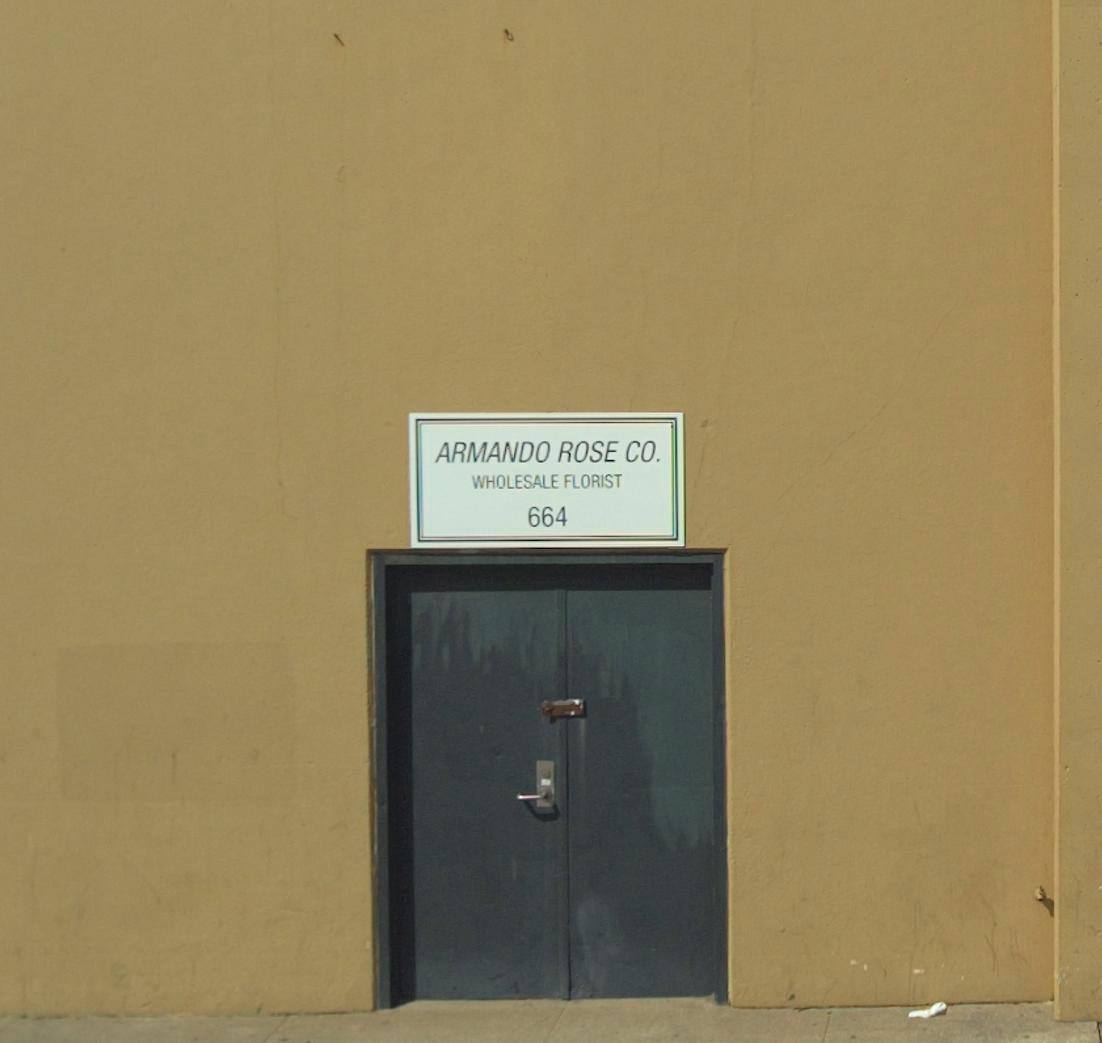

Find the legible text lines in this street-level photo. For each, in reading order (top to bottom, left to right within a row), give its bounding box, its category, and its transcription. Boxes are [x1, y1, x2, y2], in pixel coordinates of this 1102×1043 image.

[429, 437, 667, 469] BusinessName: ARMANDO ROSE CO.
[468, 469, 628, 493] BusinessName: WHOLESALE FLORIST
[525, 501, 572, 532] StreetNumber: 664